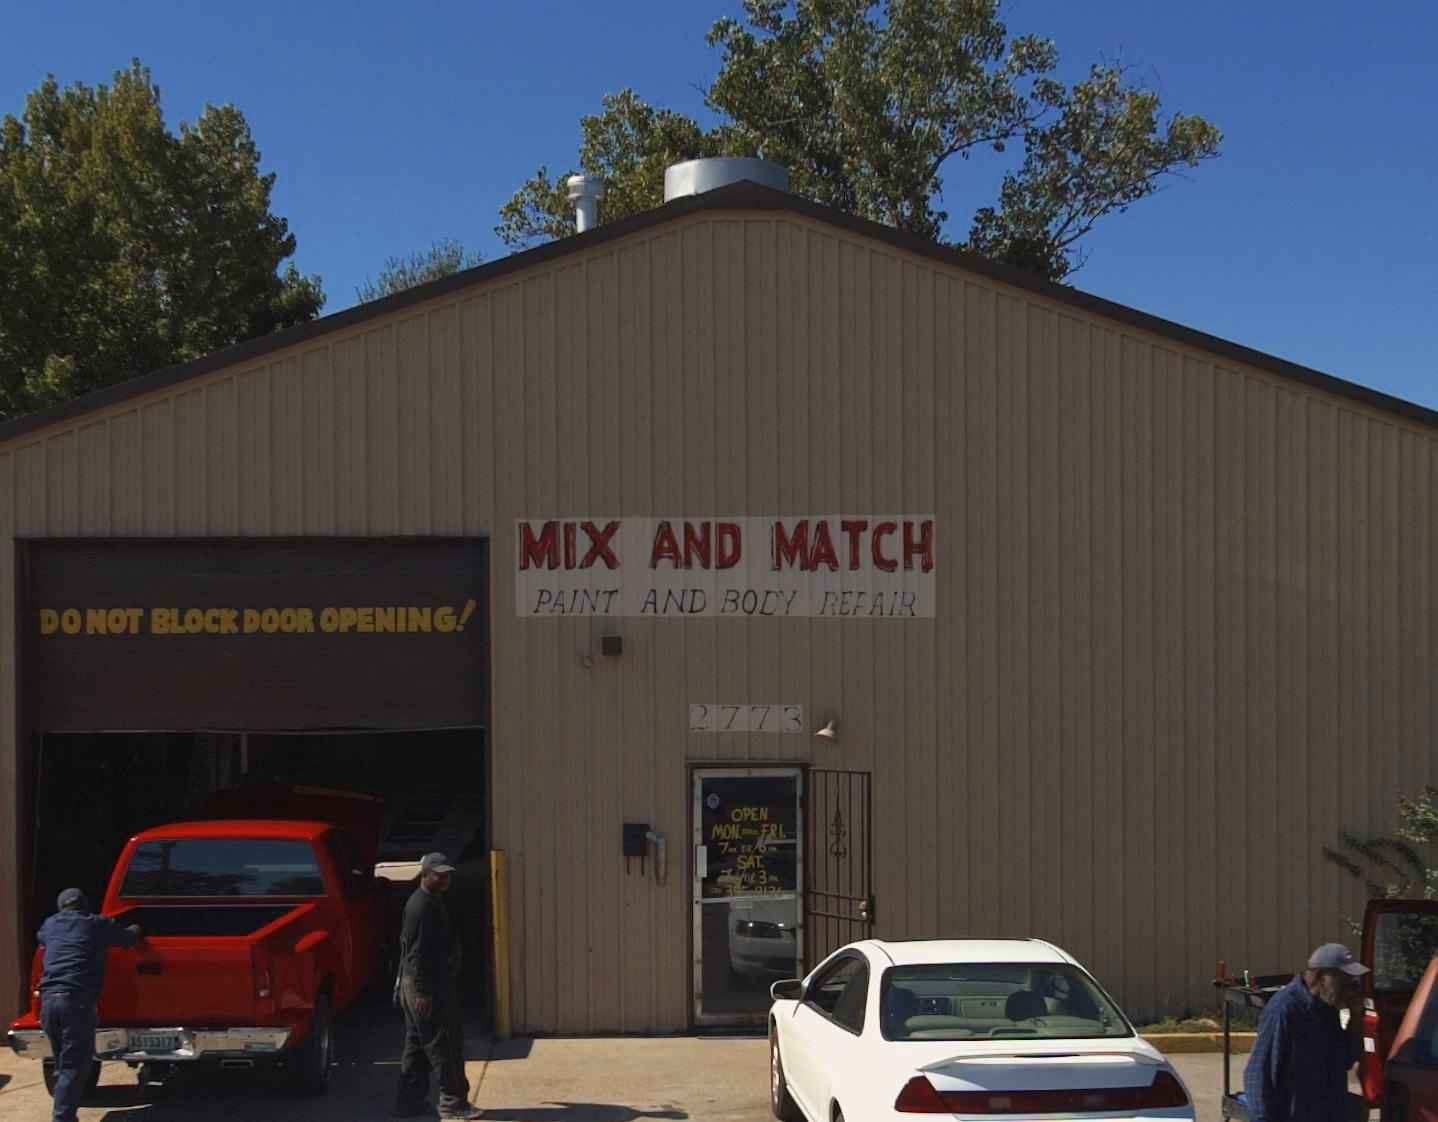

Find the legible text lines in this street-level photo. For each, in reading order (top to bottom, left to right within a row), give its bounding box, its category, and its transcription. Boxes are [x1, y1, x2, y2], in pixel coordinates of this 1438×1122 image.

[516, 517, 938, 574] BusinessName: MIX AND MATCH
[531, 586, 918, 618] BusinessName: PAINT AND BODY REPAIR
[38, 595, 480, 637] None: DO NO BLOCK DOOR OPENING!
[689, 703, 803, 733] StreetNumber: 2773
[728, 804, 770, 824] None: OPEN
[707, 821, 789, 842] None: MON.-FRI.
[715, 840, 733, 857] None: 7
[755, 838, 769, 855] None: 6
[734, 852, 767, 871] None: SAT.
[722, 882, 787, 901] None: 3*5-*136
[128, 1033, 174, 1049] None: X515317